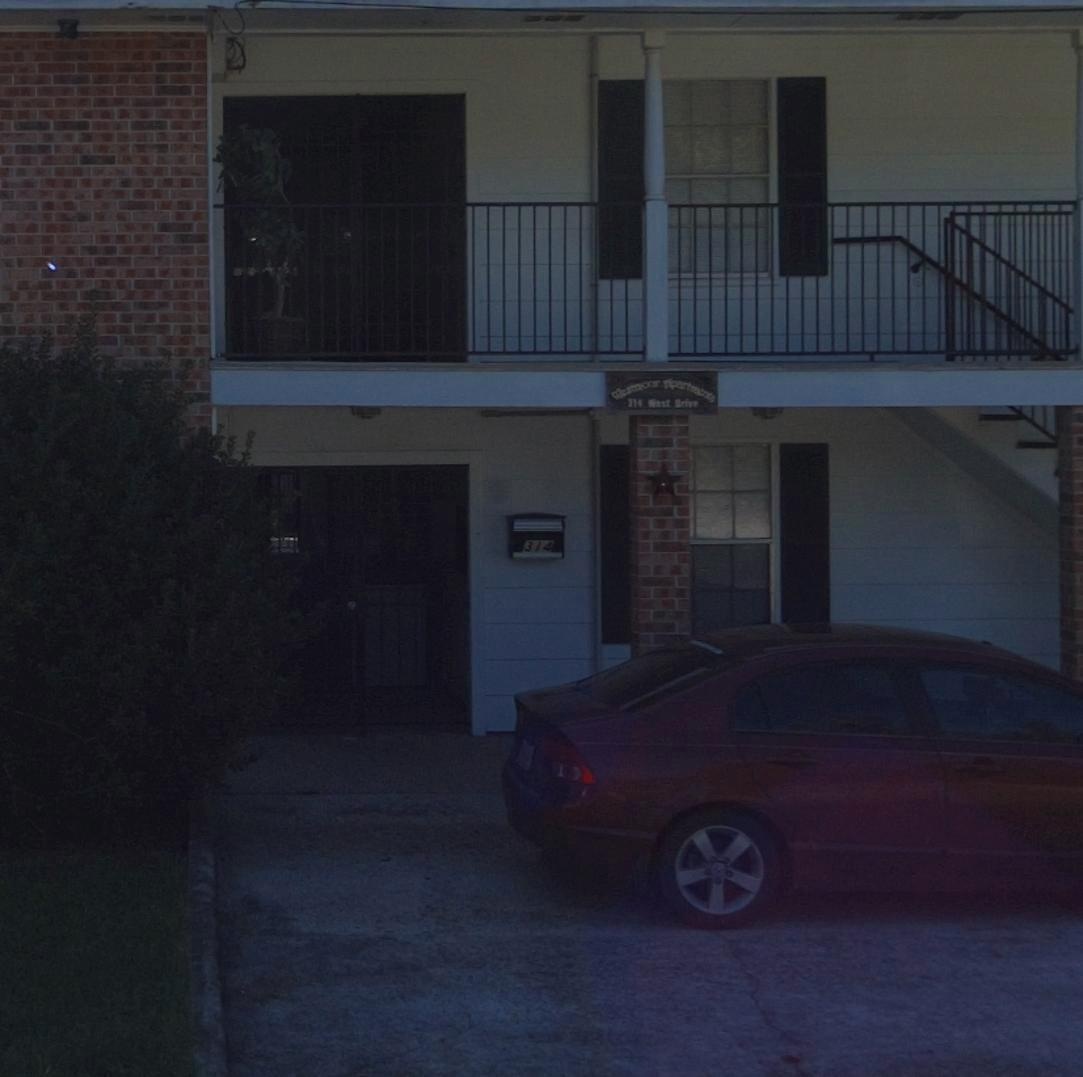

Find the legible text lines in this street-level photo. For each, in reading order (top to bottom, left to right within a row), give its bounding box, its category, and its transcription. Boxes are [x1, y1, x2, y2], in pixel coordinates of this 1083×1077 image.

[625, 396, 645, 411] StreetNumber: 314
[646, 395, 702, 411] StreetName: **st Drive
[522, 539, 556, 554] StreetNumber: 314